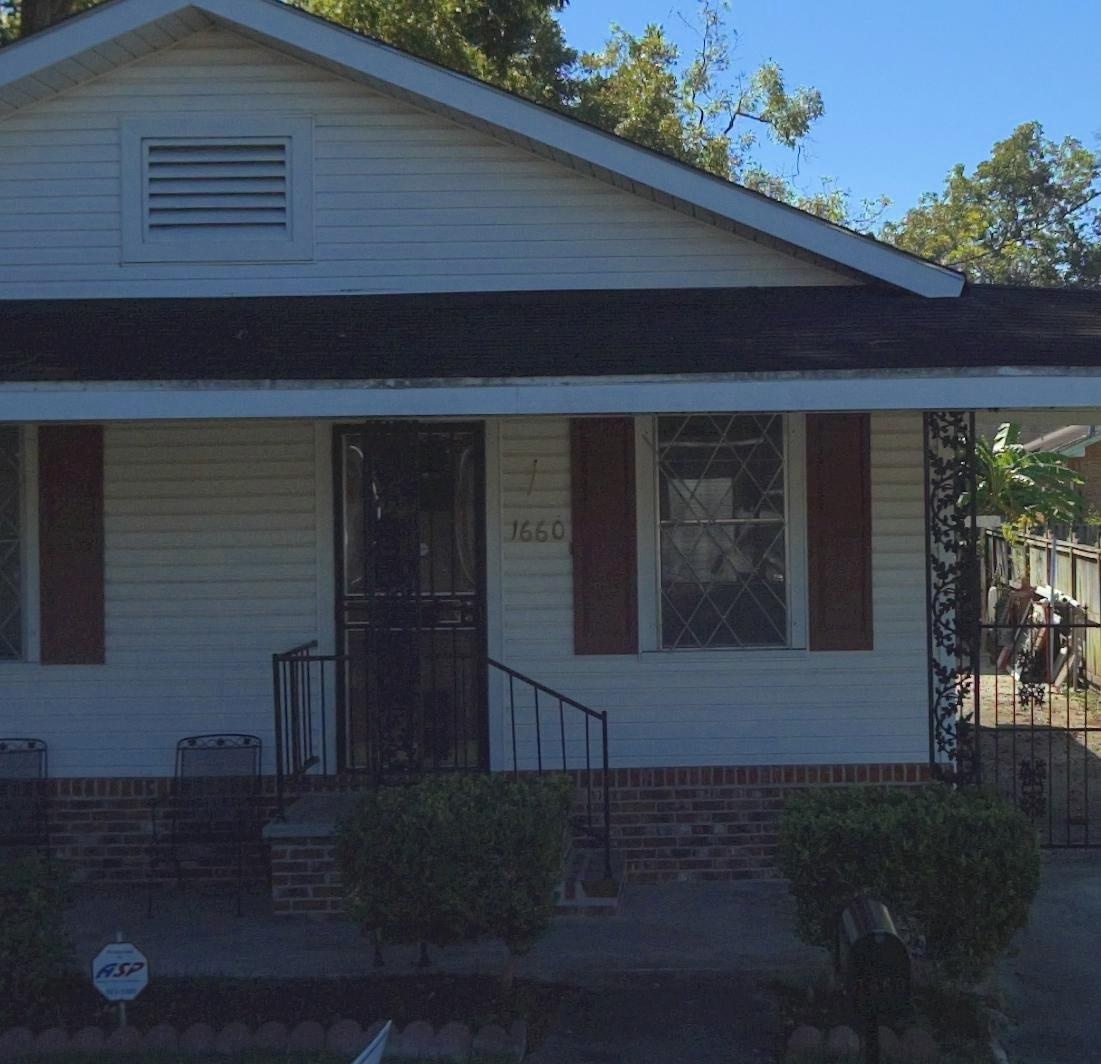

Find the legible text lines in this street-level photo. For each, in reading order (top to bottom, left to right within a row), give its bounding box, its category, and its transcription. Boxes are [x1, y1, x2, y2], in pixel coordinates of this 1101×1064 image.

[507, 517, 567, 545] StreetNumber: 1660
[92, 959, 148, 982] None: ASP